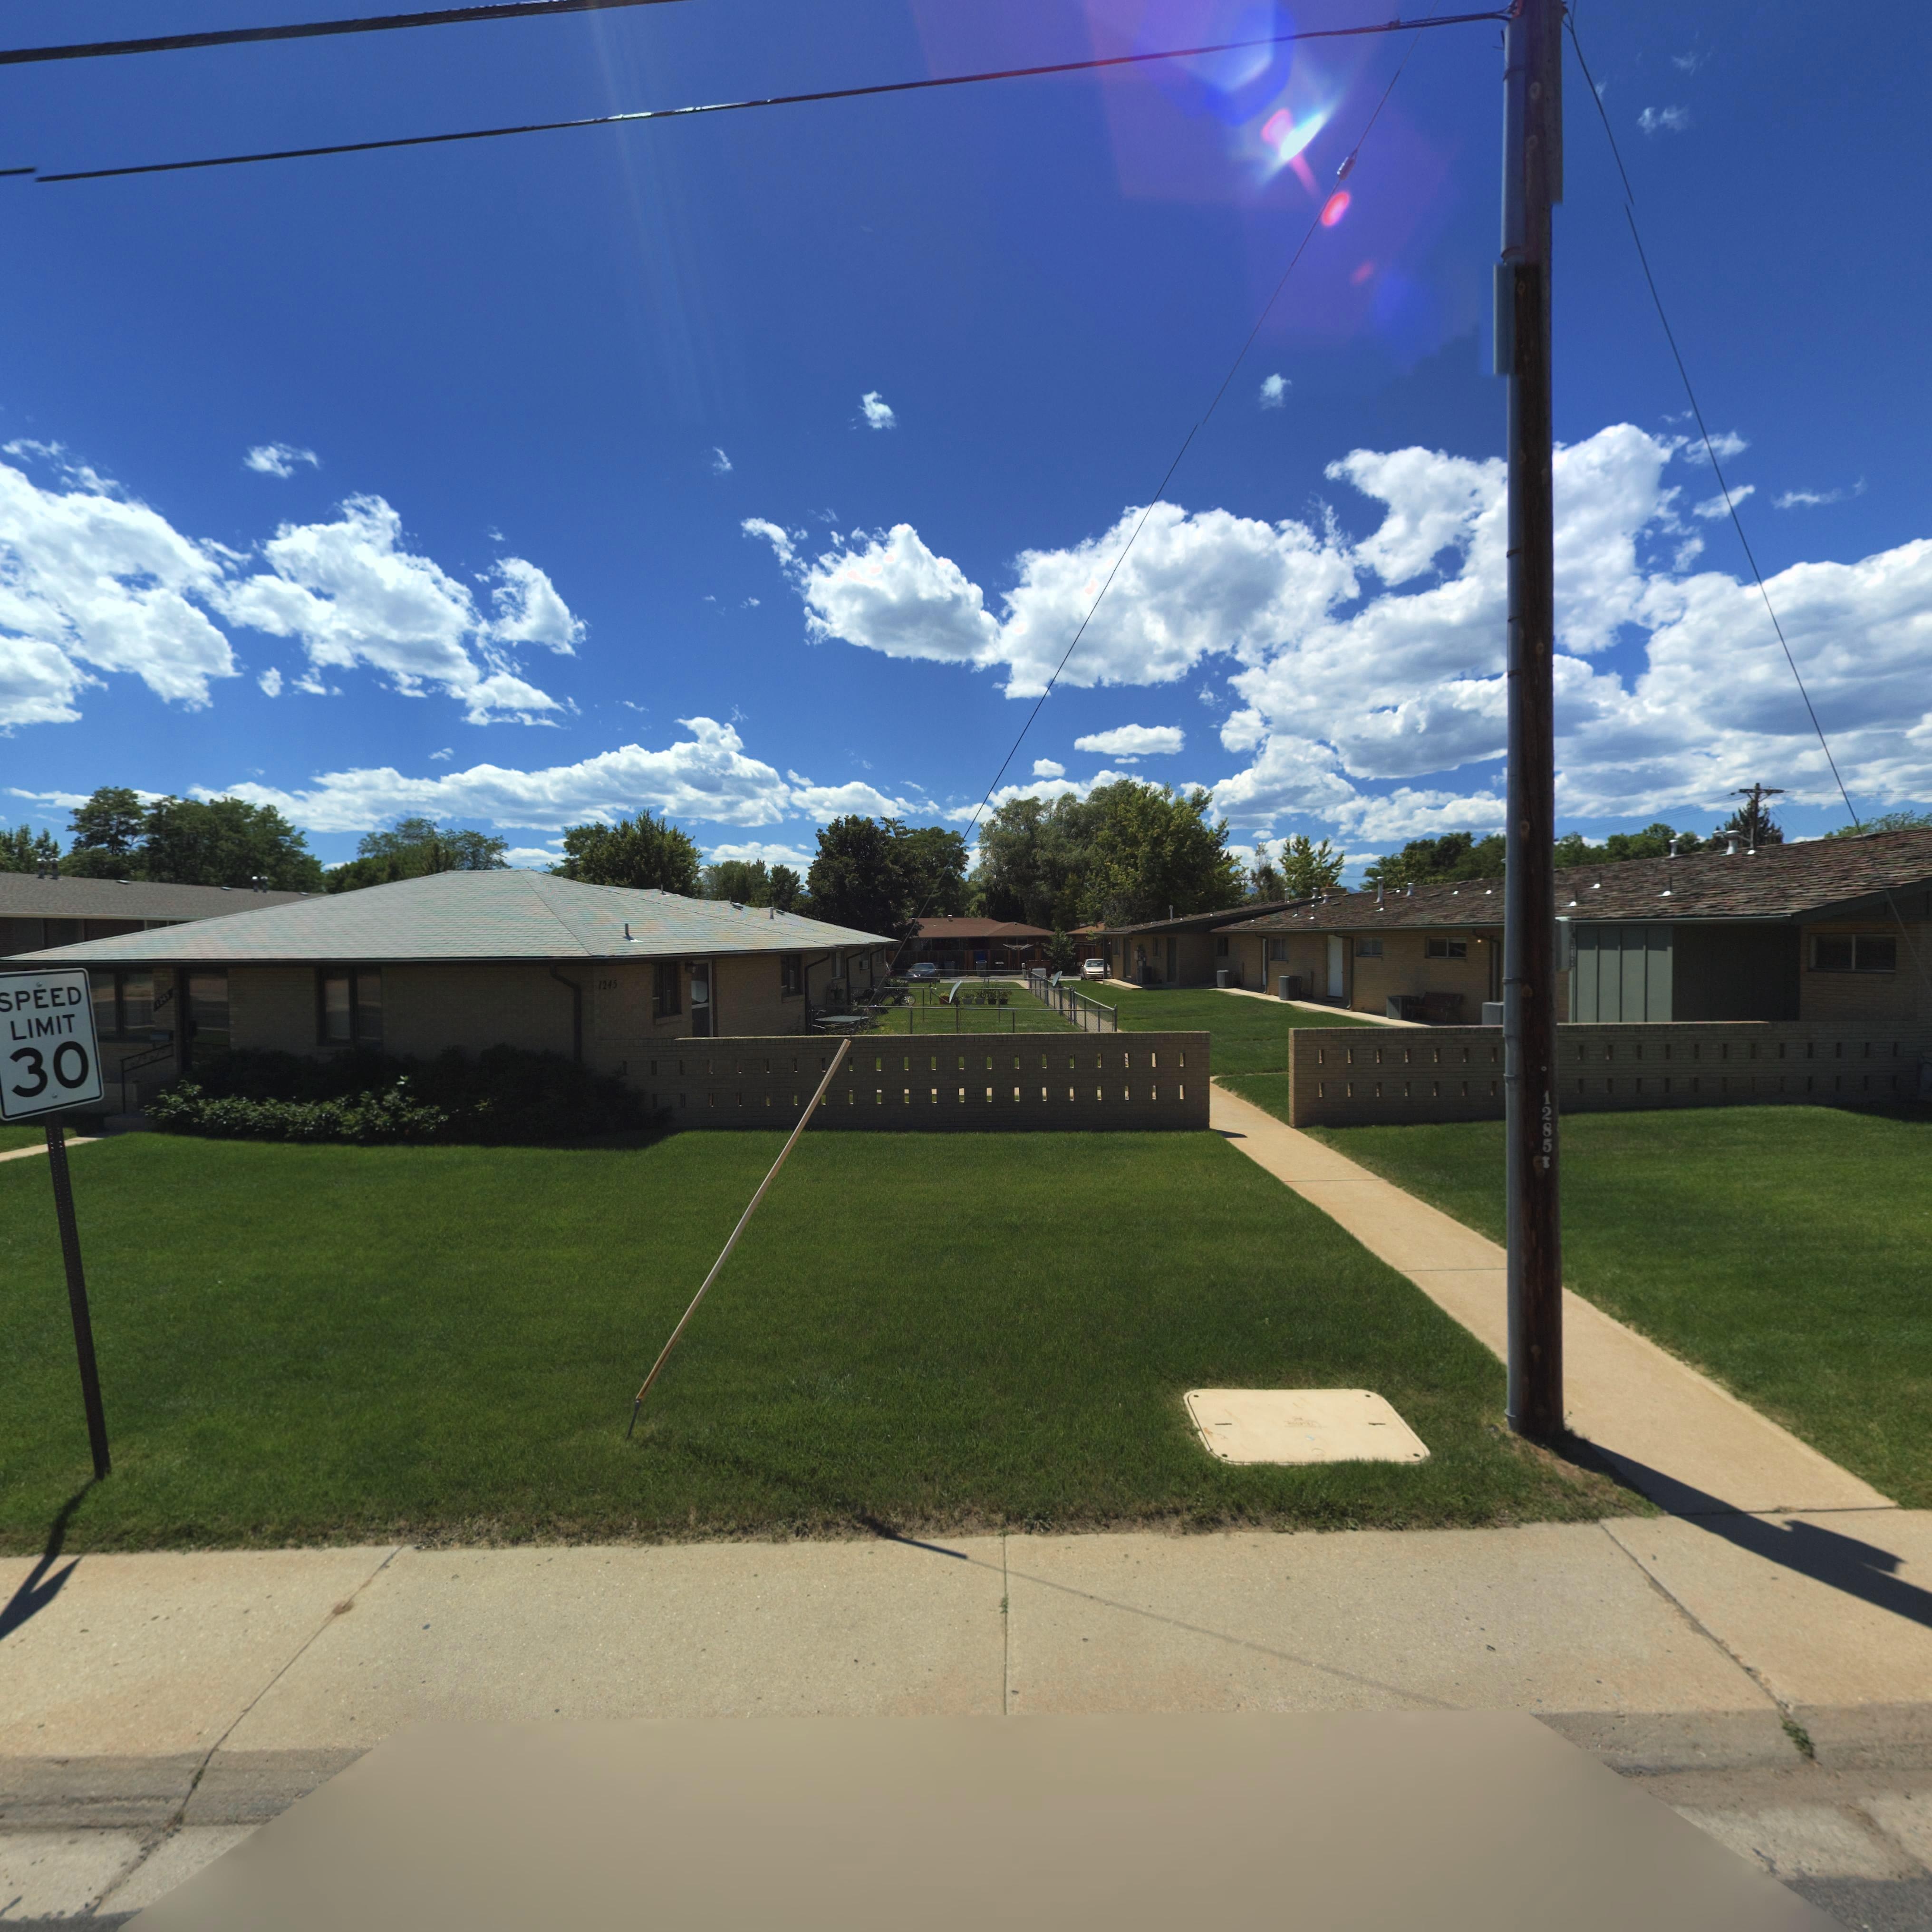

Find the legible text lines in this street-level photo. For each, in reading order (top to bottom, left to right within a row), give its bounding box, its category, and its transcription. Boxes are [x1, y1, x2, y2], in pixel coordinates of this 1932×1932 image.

[597, 978, 617, 990] StreetNumber: 1245
[155, 992, 170, 1007] StreetNumber: 124*